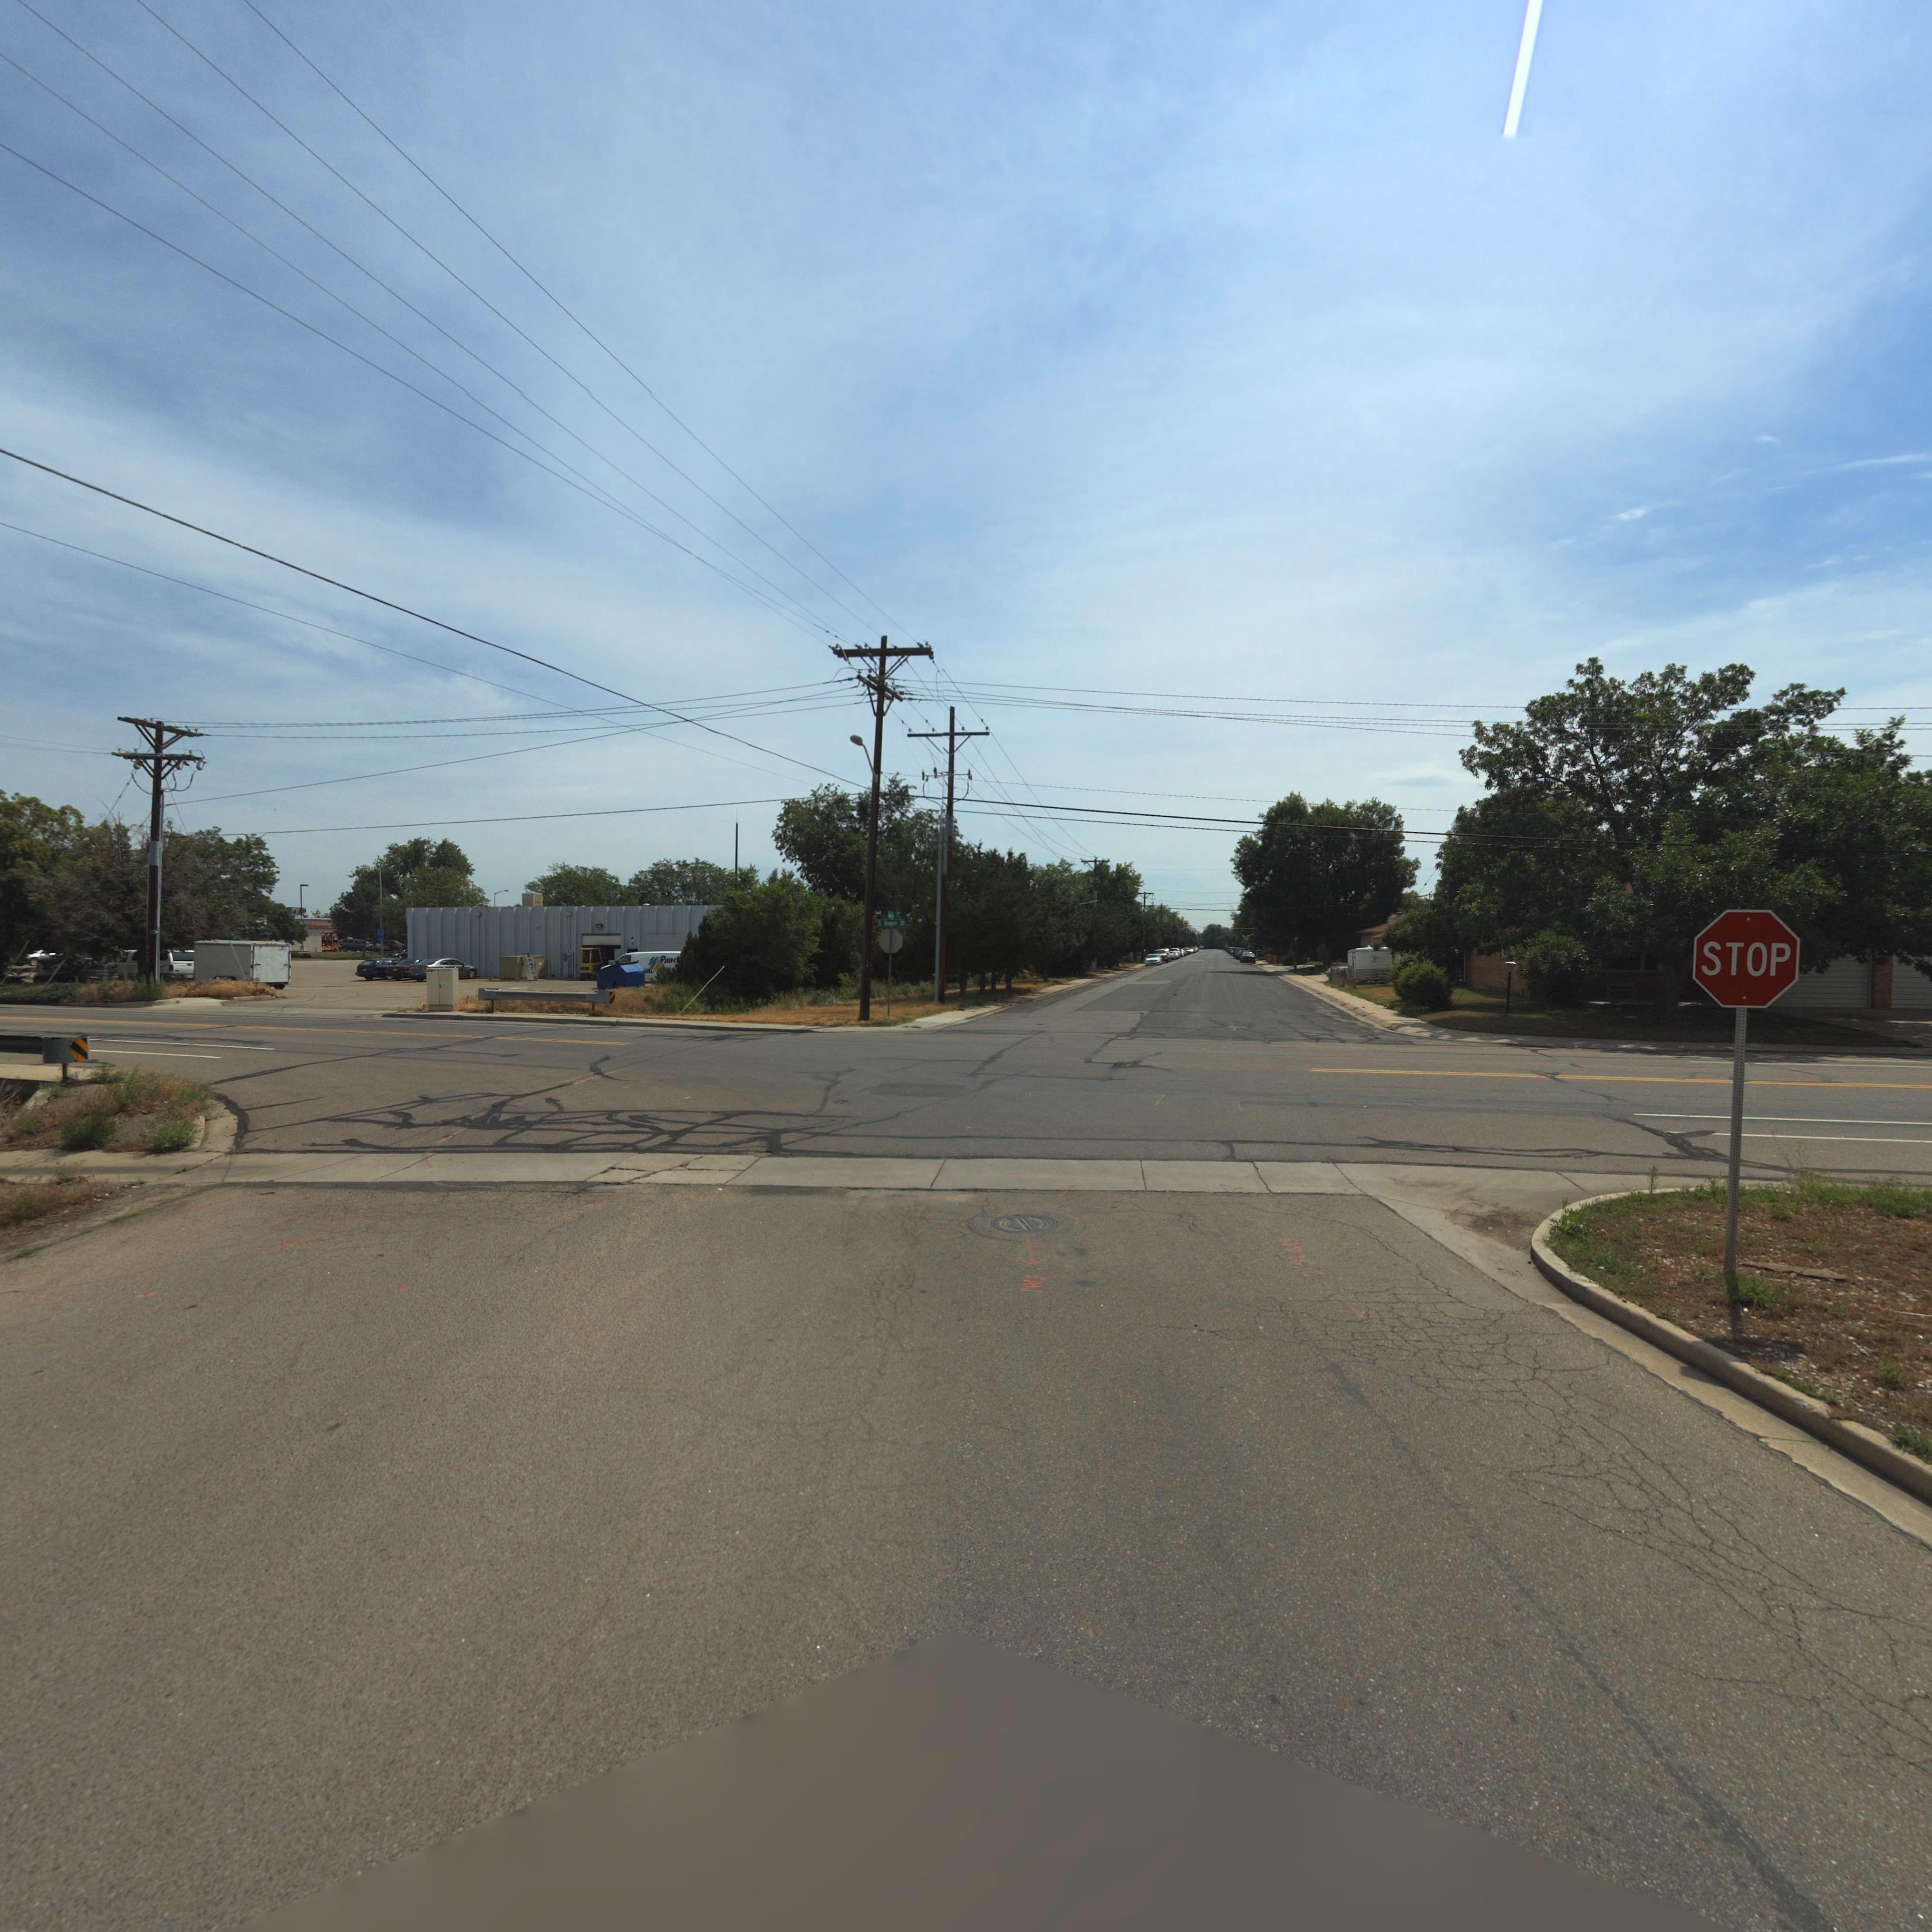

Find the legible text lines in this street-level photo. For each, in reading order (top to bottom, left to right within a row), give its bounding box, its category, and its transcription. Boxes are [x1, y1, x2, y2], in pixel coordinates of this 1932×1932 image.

[877, 919, 904, 926] StreetName: S B**en St